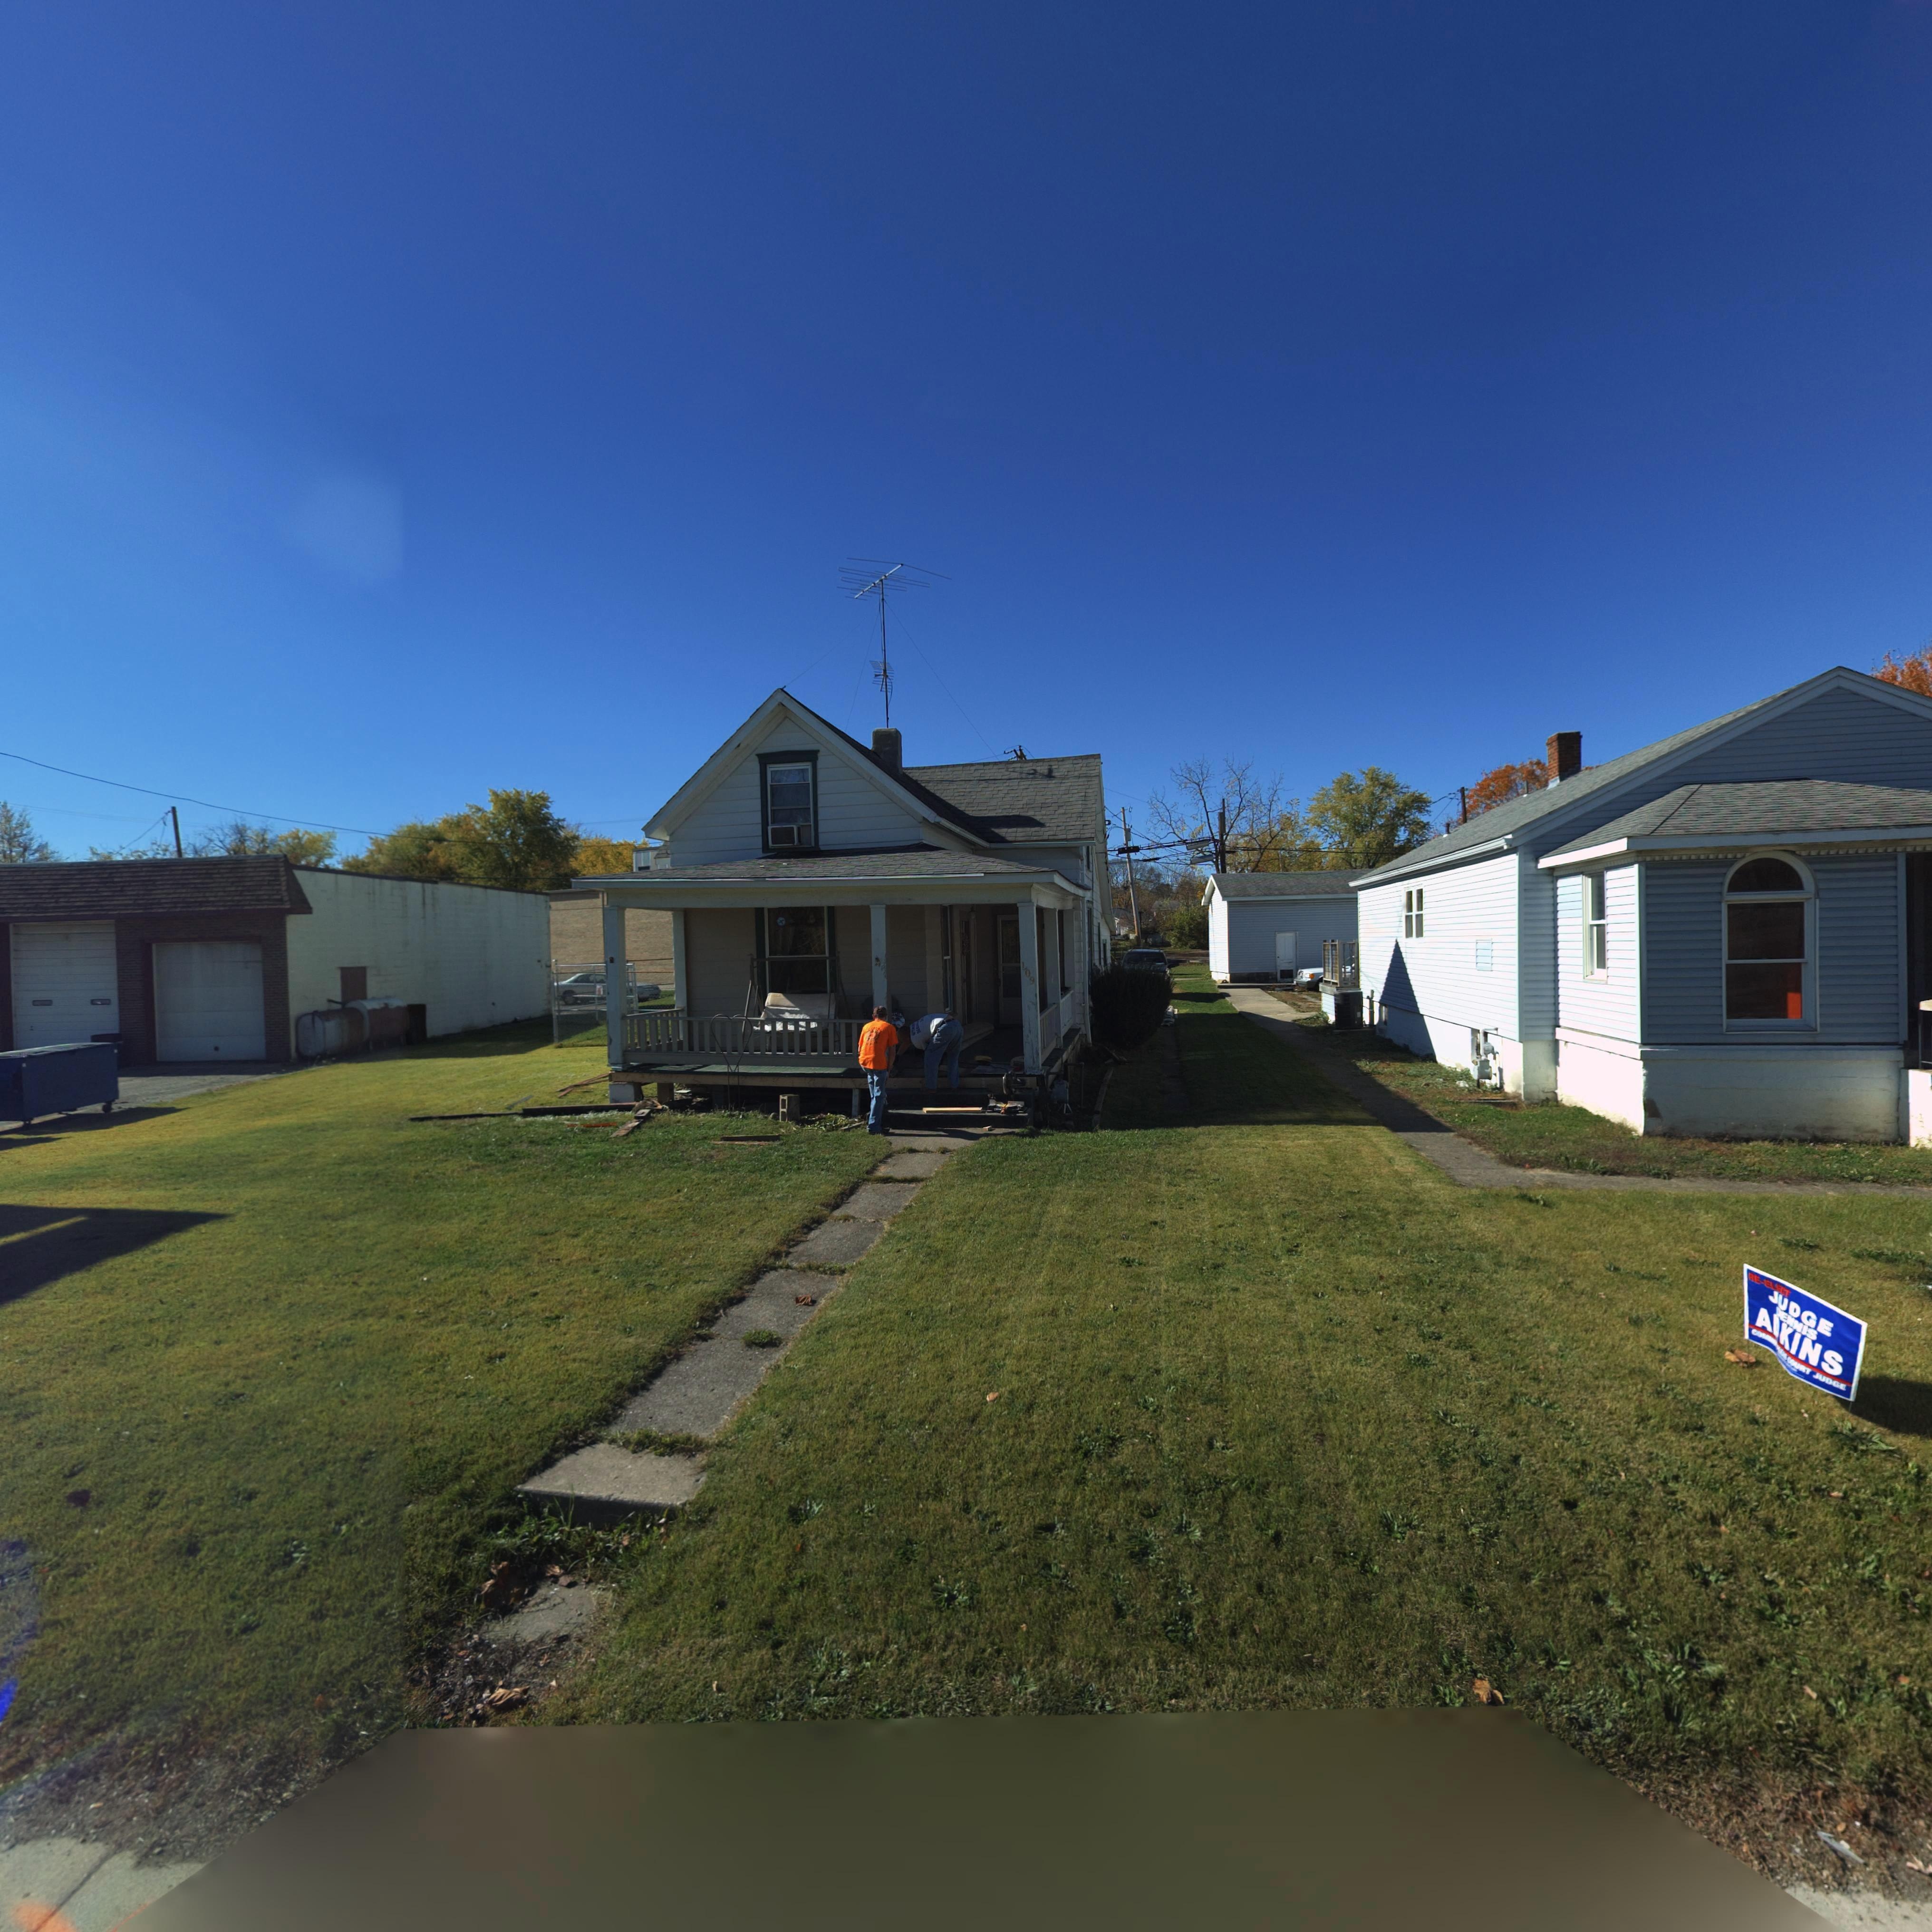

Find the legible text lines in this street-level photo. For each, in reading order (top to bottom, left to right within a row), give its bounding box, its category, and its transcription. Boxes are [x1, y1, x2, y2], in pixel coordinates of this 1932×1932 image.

[1021, 961, 1035, 985] StreetNumber: 109